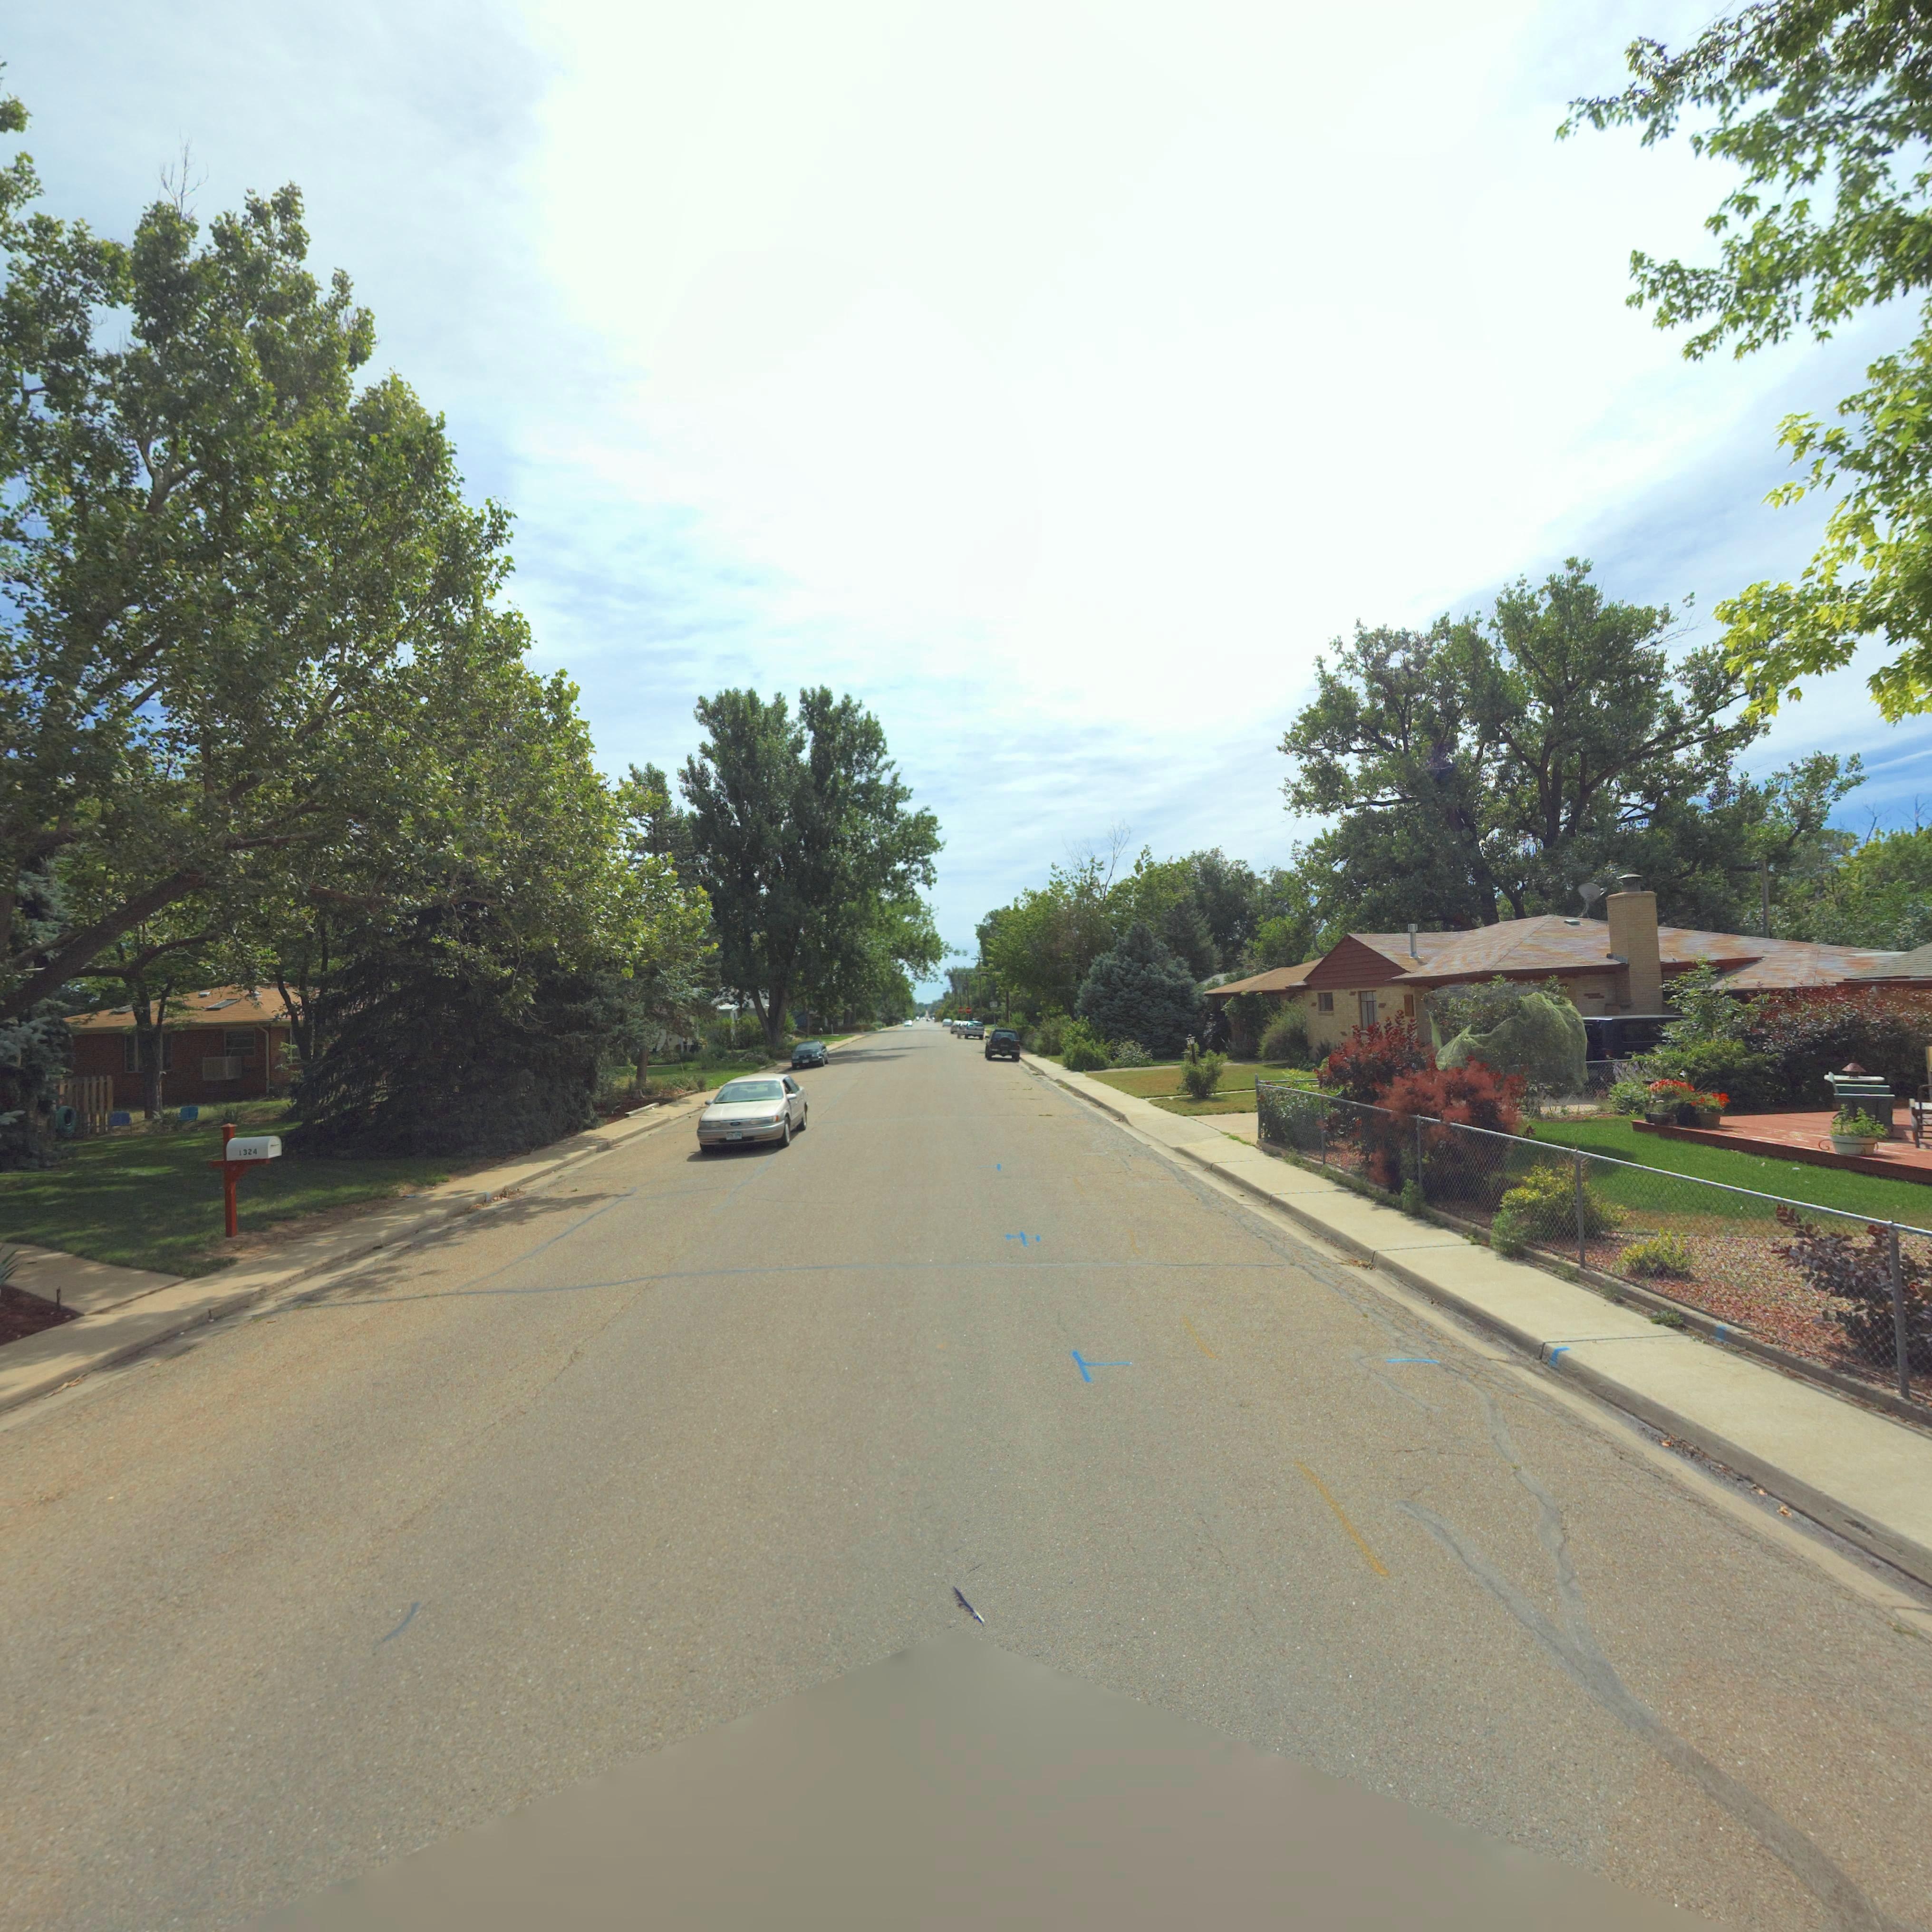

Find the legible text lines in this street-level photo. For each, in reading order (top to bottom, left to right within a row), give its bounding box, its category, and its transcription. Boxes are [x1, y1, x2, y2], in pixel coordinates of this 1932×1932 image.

[239, 1148, 257, 1156] StreetNumber: 1324